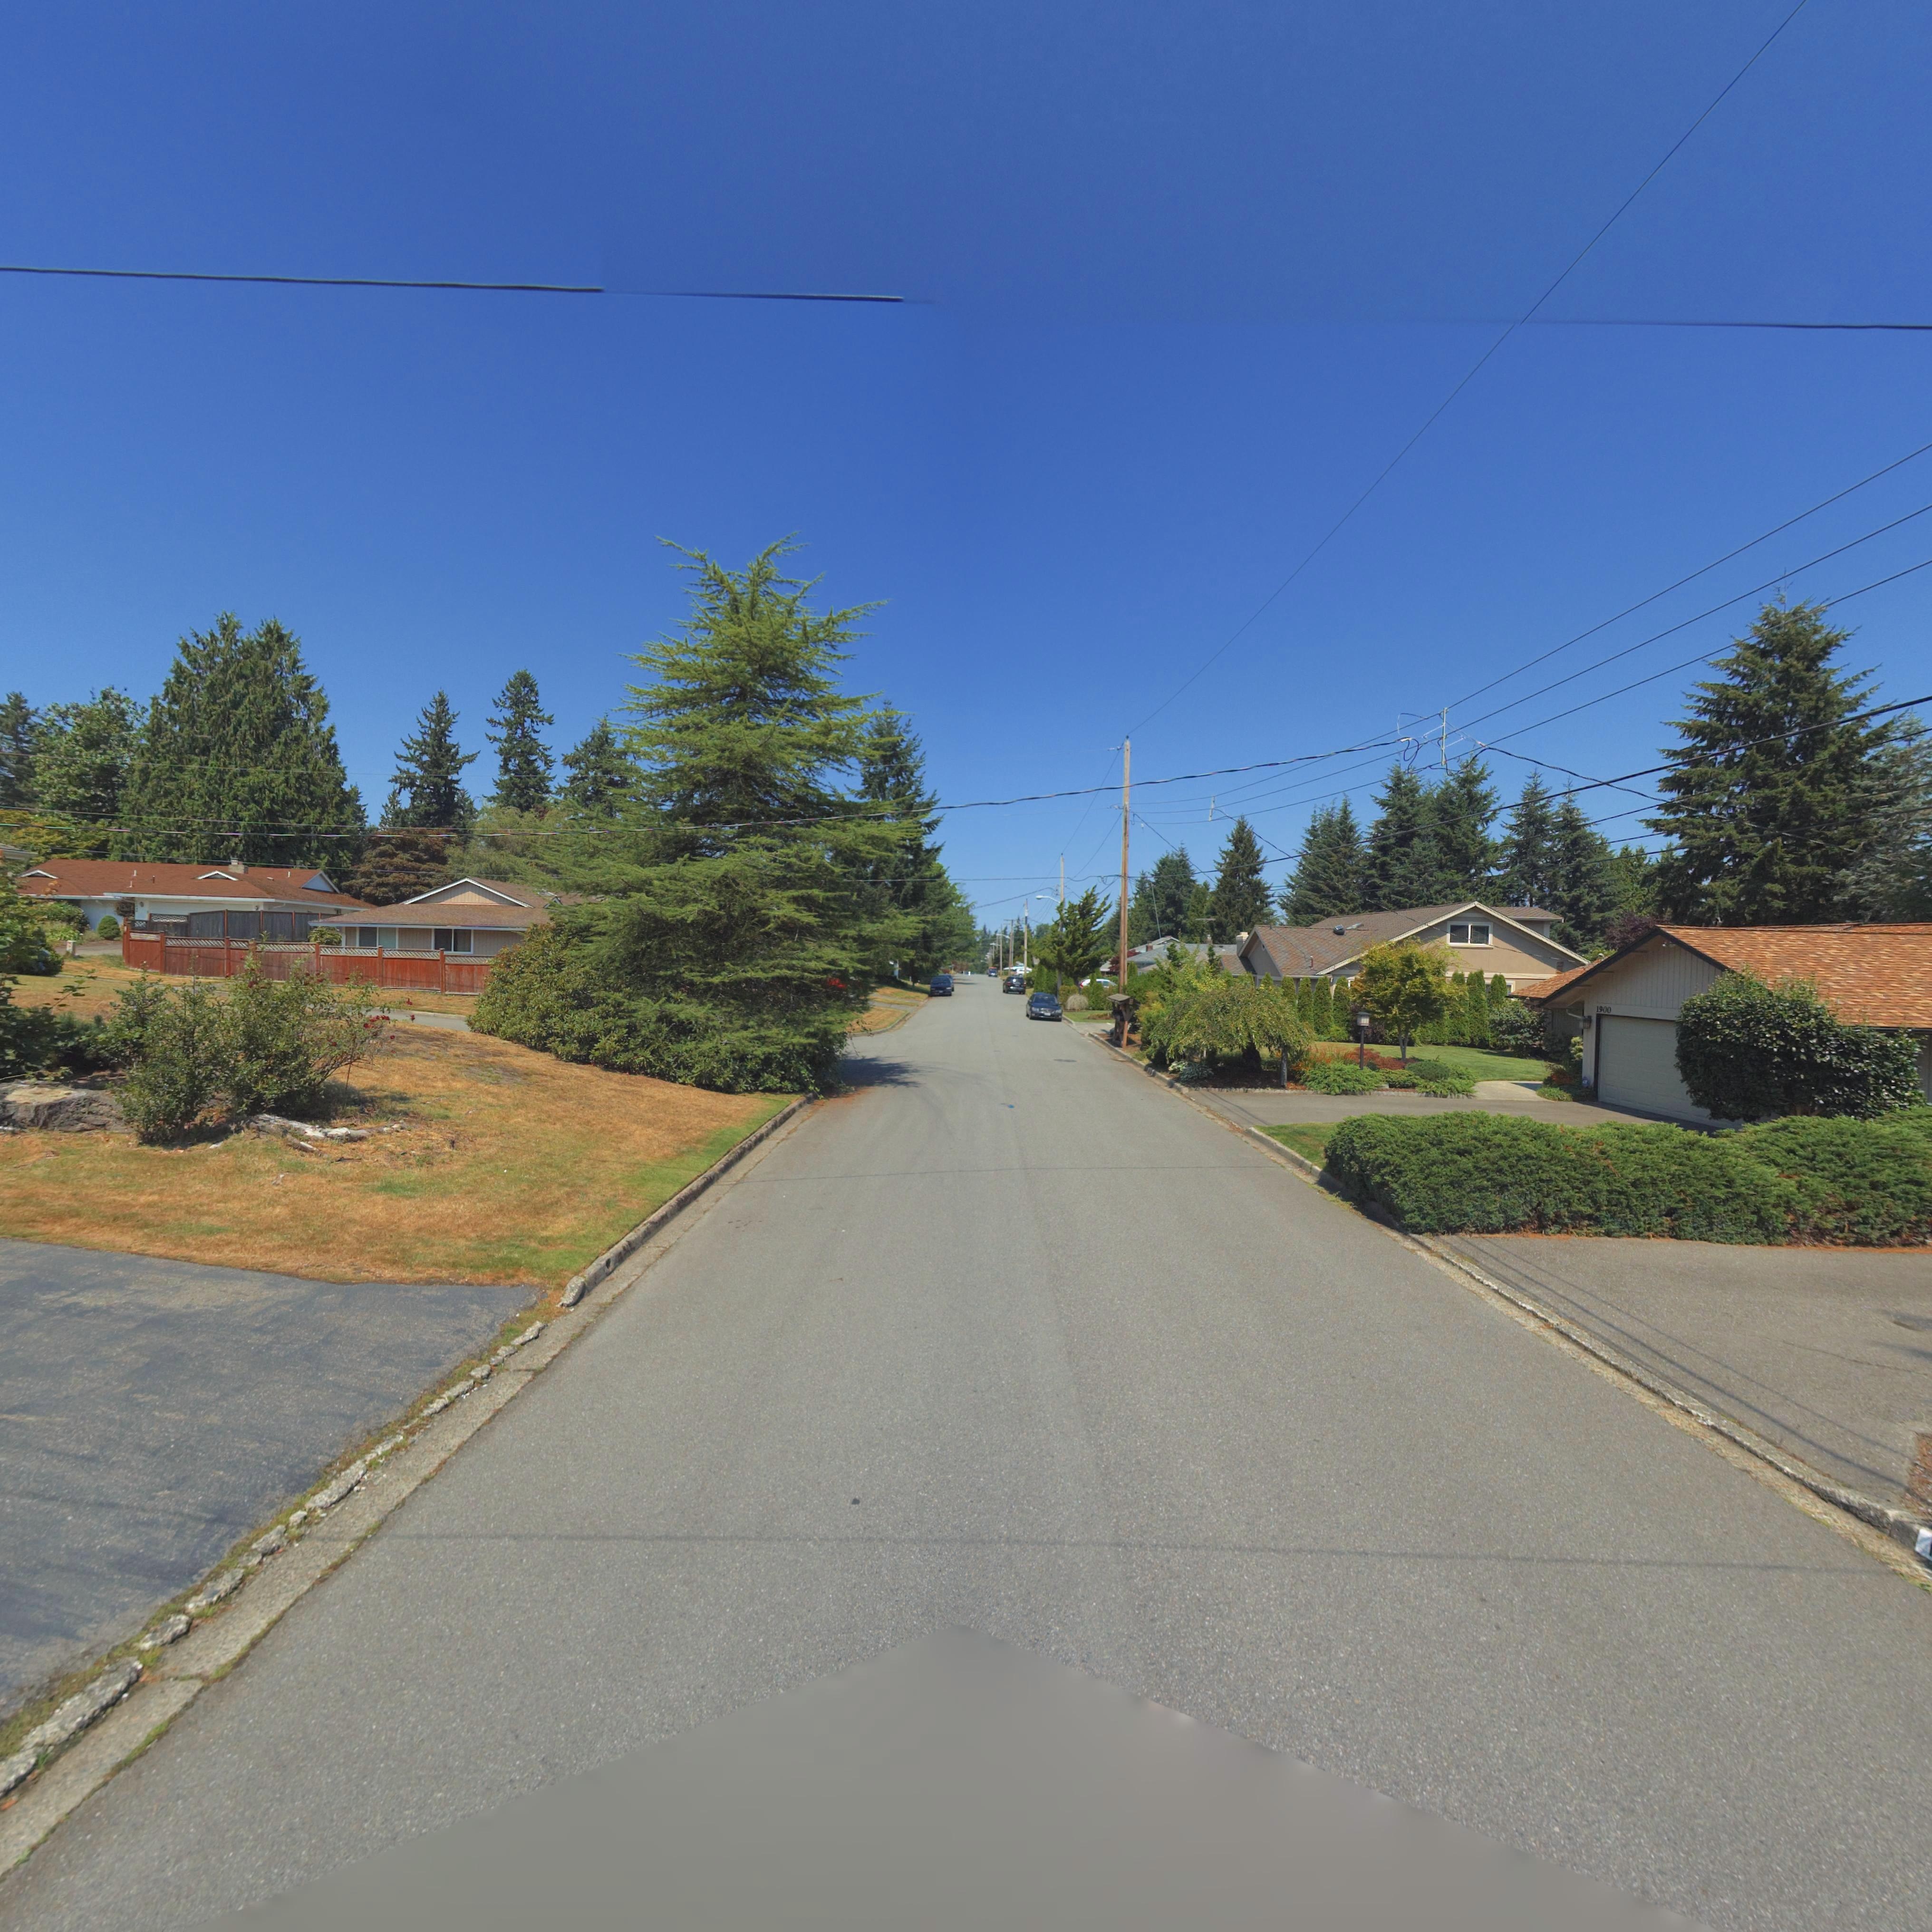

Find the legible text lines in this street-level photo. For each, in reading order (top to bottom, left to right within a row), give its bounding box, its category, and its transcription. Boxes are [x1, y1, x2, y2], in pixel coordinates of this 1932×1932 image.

[1595, 1005, 1612, 1013] StreetNumber: 1900